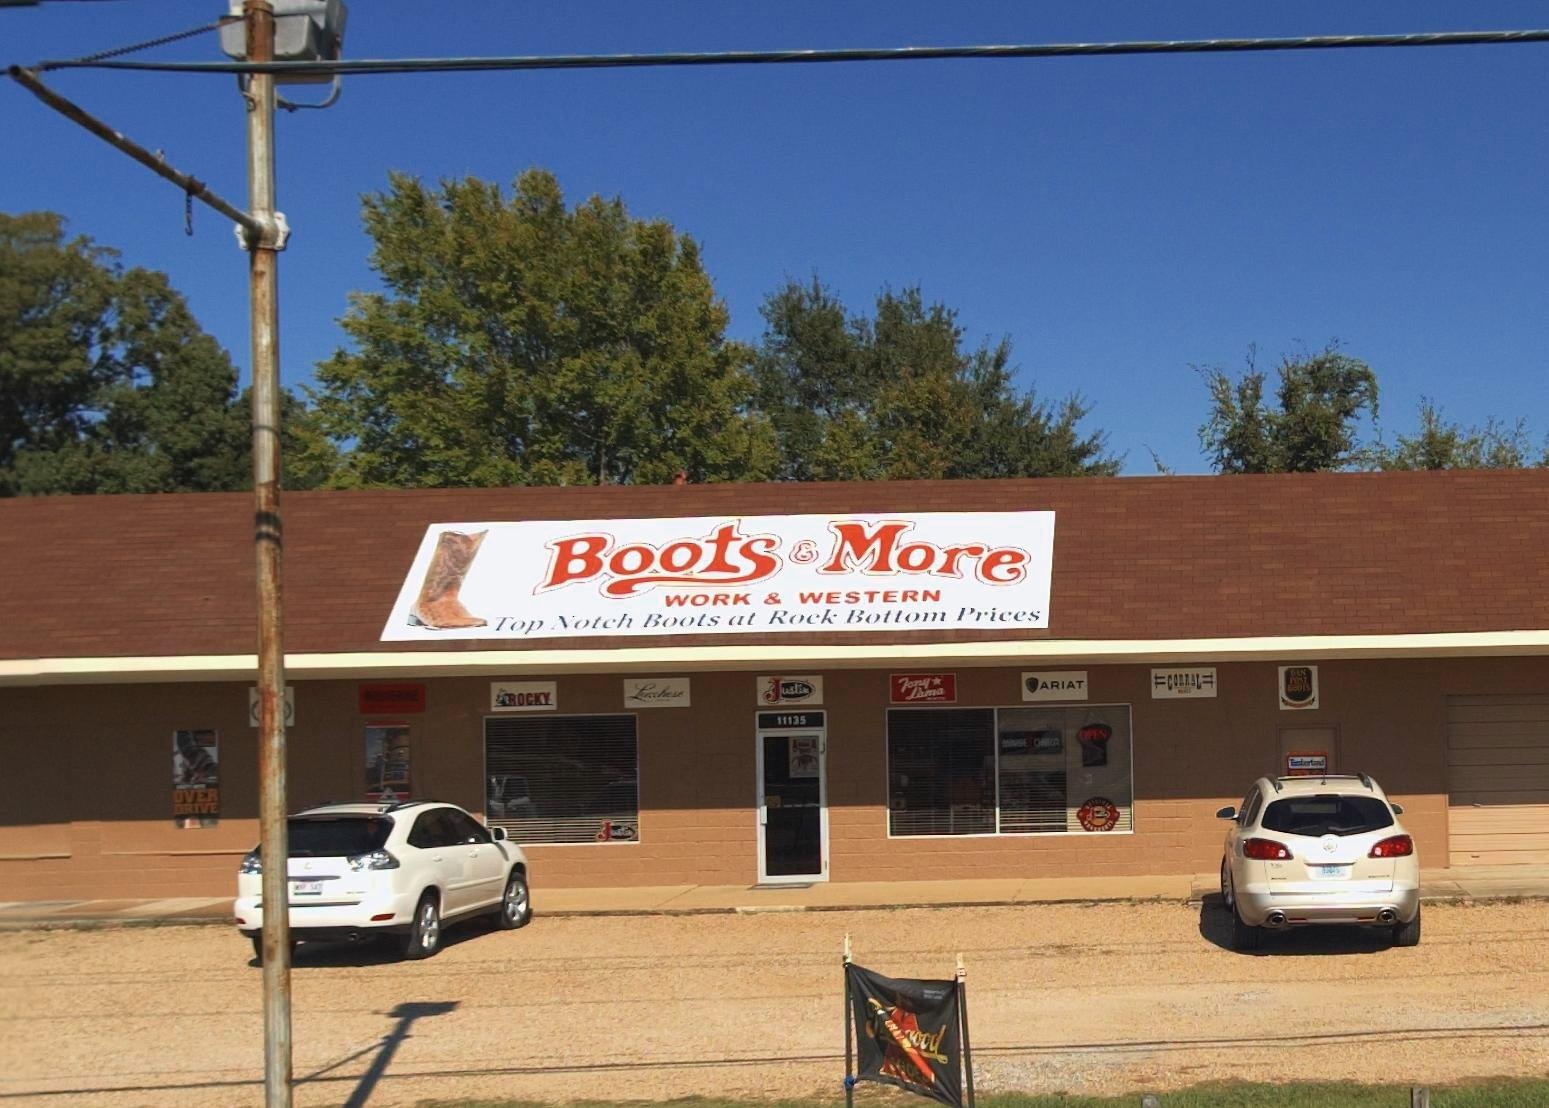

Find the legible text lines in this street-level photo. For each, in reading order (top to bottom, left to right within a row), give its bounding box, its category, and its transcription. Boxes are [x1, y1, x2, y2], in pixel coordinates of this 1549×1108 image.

[527, 512, 1048, 603] BusinessName: Boots & More
[661, 587, 945, 610] None: WORK & WESTERN
[488, 603, 1044, 639] None: Top Notch Boots at Rock Bottom Prices
[506, 690, 553, 708] None: ROCKY
[758, 675, 813, 707] BusinessName: Justi*
[895, 674, 933, 695] BusinessName: Tony
[902, 685, 948, 704] BusinessName: Dima
[1036, 678, 1086, 692] BusinessName: ARIAT
[1165, 671, 1204, 693] BusinessName: CO*RAL
[774, 712, 811, 727] StreetNumber: 11135
[1073, 727, 1109, 743] None: OPEN
[171, 786, 220, 804] None: OVER
[171, 801, 220, 816] None: DRIVE
[908, 1020, 951, 1061] BusinessName: ood